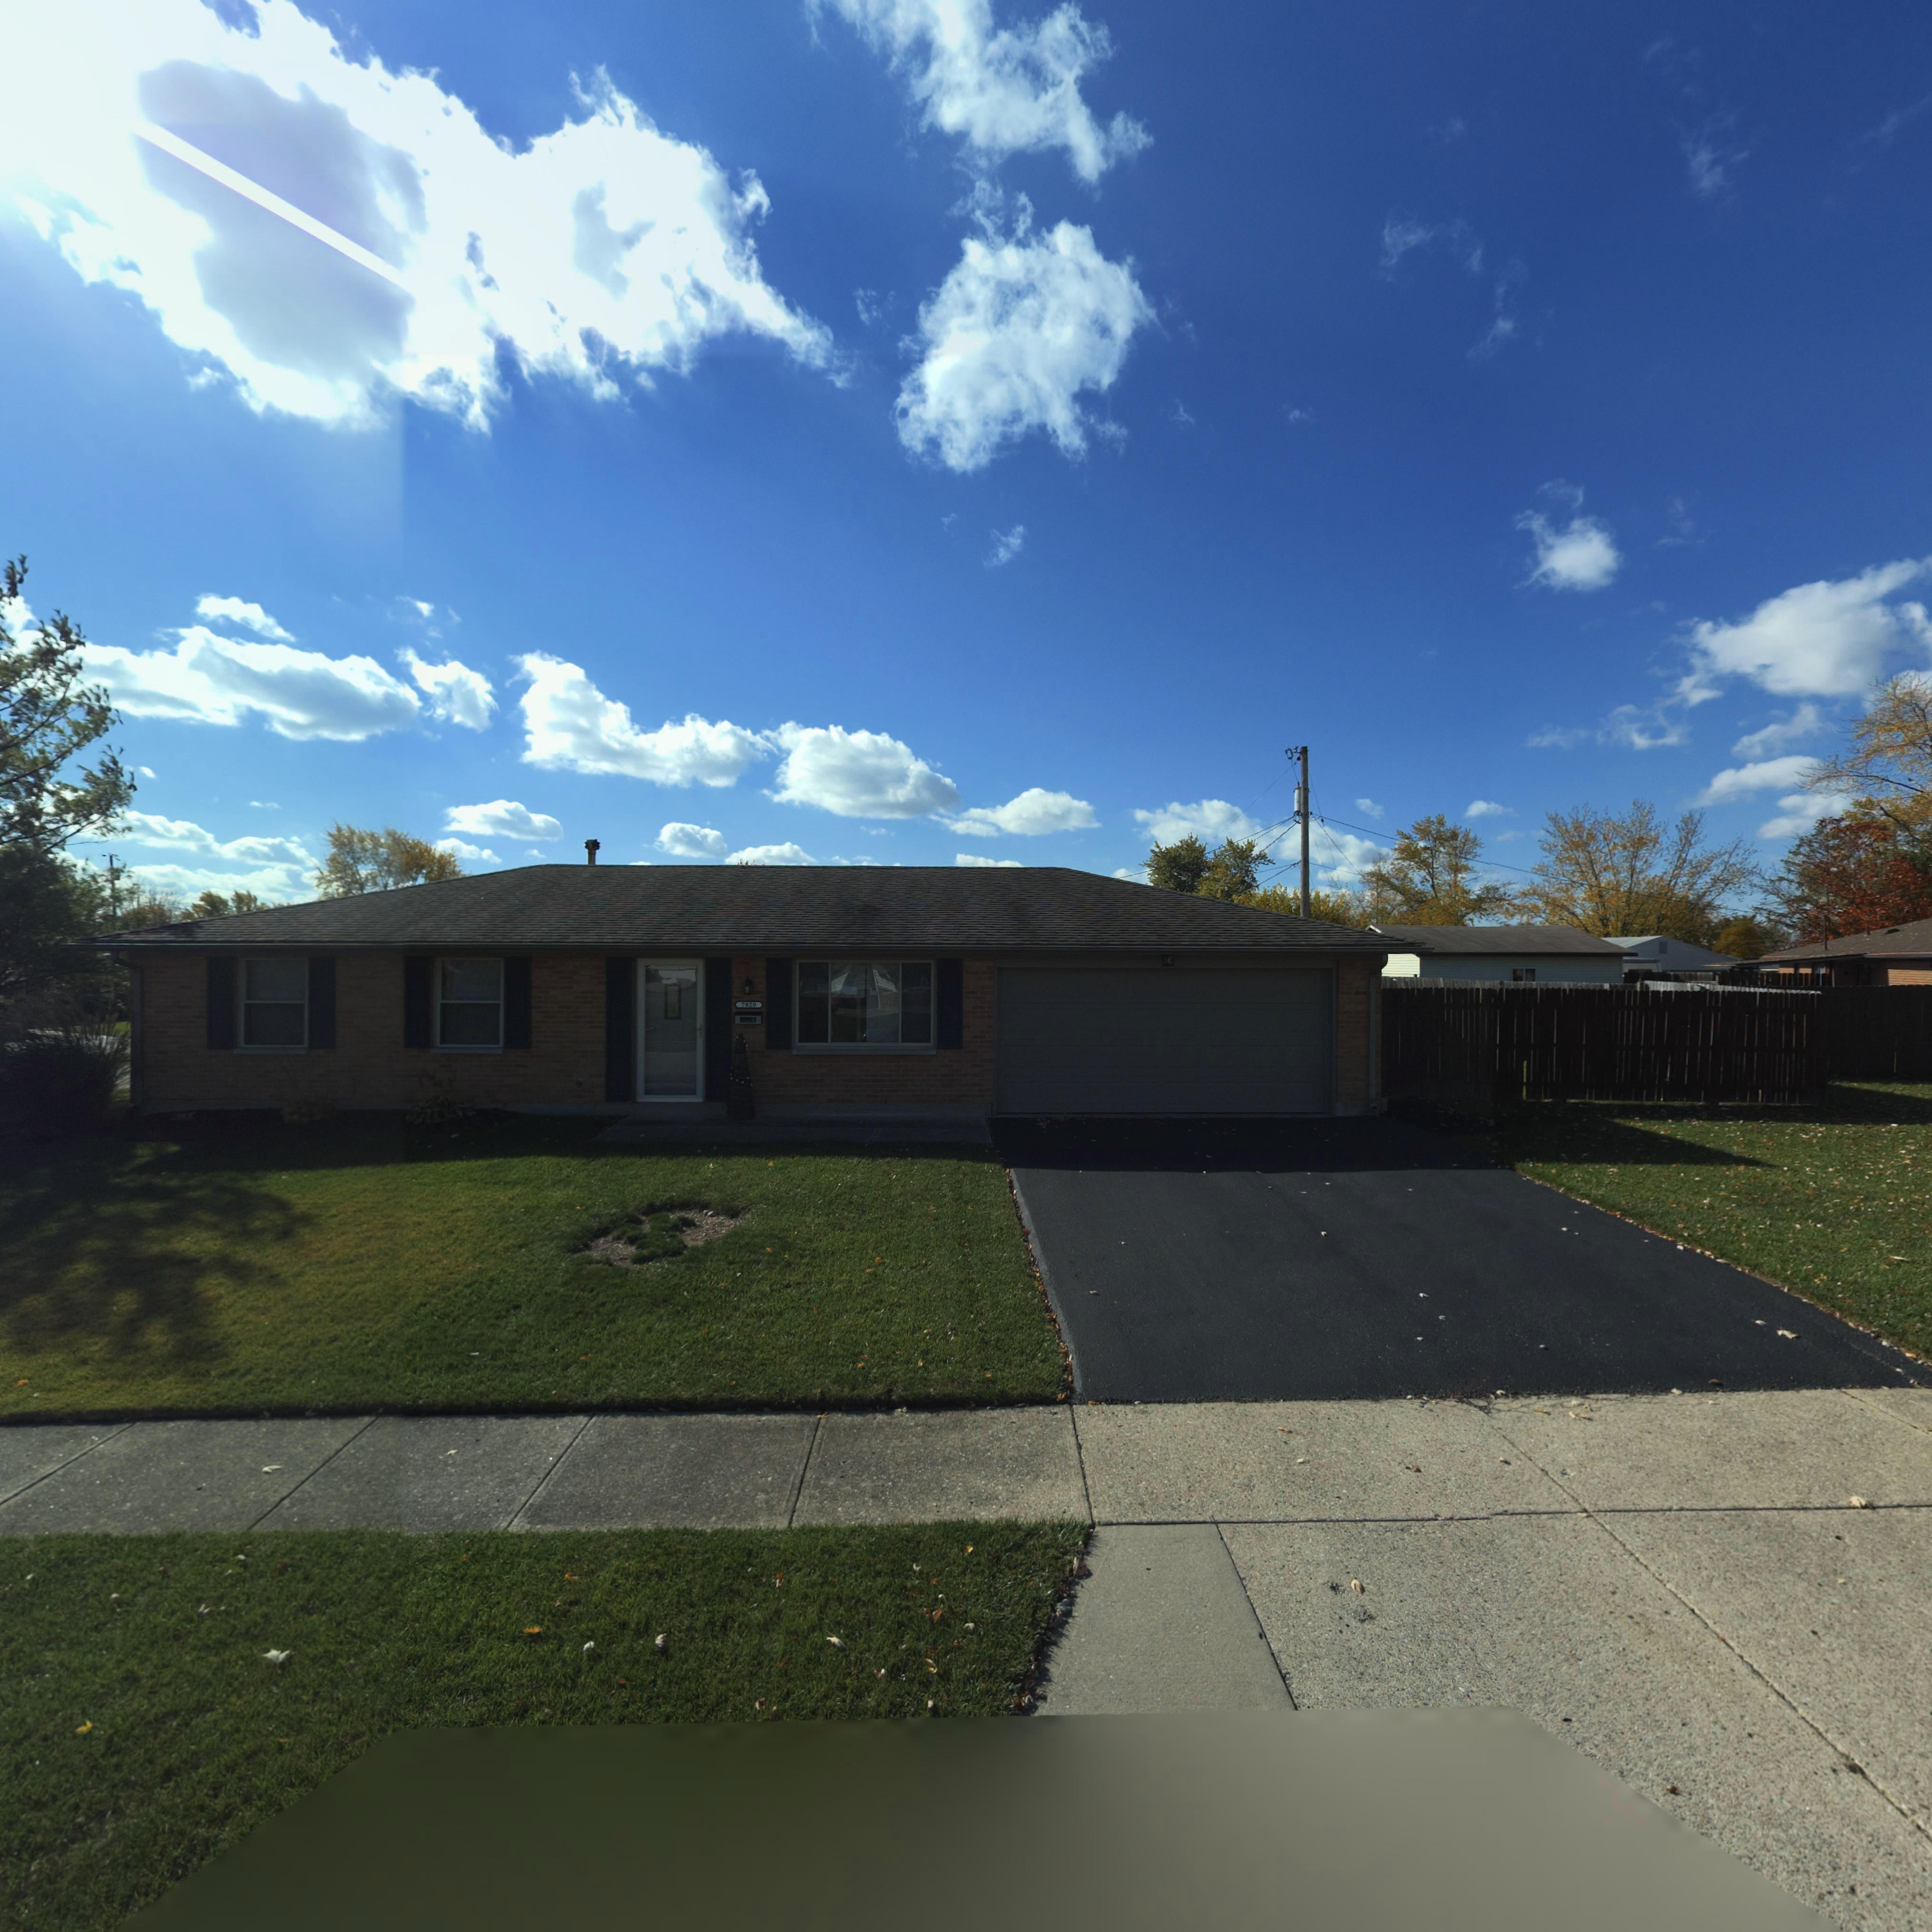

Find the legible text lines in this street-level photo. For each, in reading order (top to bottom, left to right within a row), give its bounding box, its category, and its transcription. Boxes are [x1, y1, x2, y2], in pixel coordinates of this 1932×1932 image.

[741, 1002, 756, 1008] StreetNumber: 7820